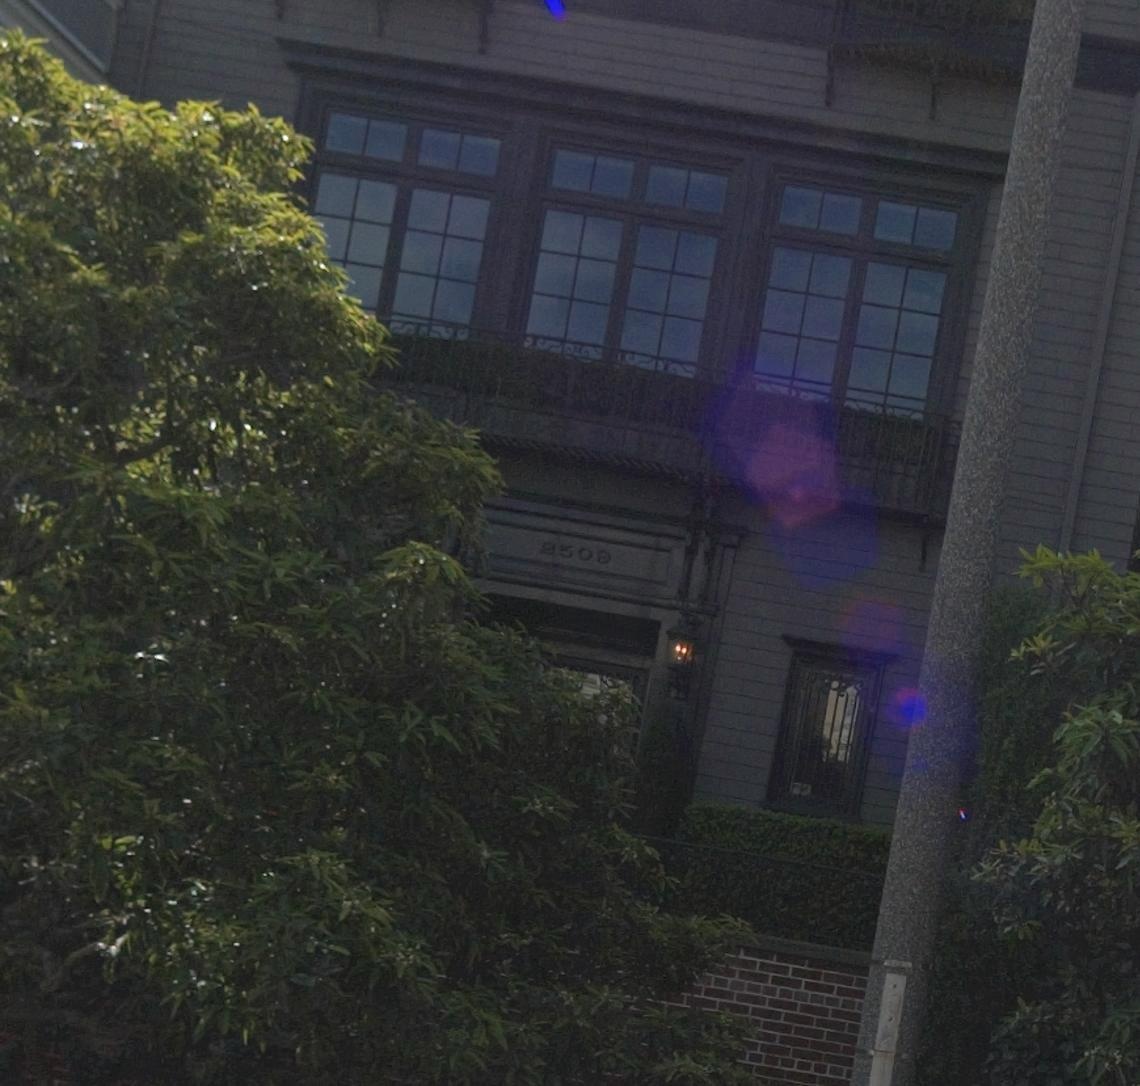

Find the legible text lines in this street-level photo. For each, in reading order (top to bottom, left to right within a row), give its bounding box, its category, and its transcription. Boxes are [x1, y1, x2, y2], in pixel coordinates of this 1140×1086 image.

[537, 538, 615, 568] StreetNumber: 2509